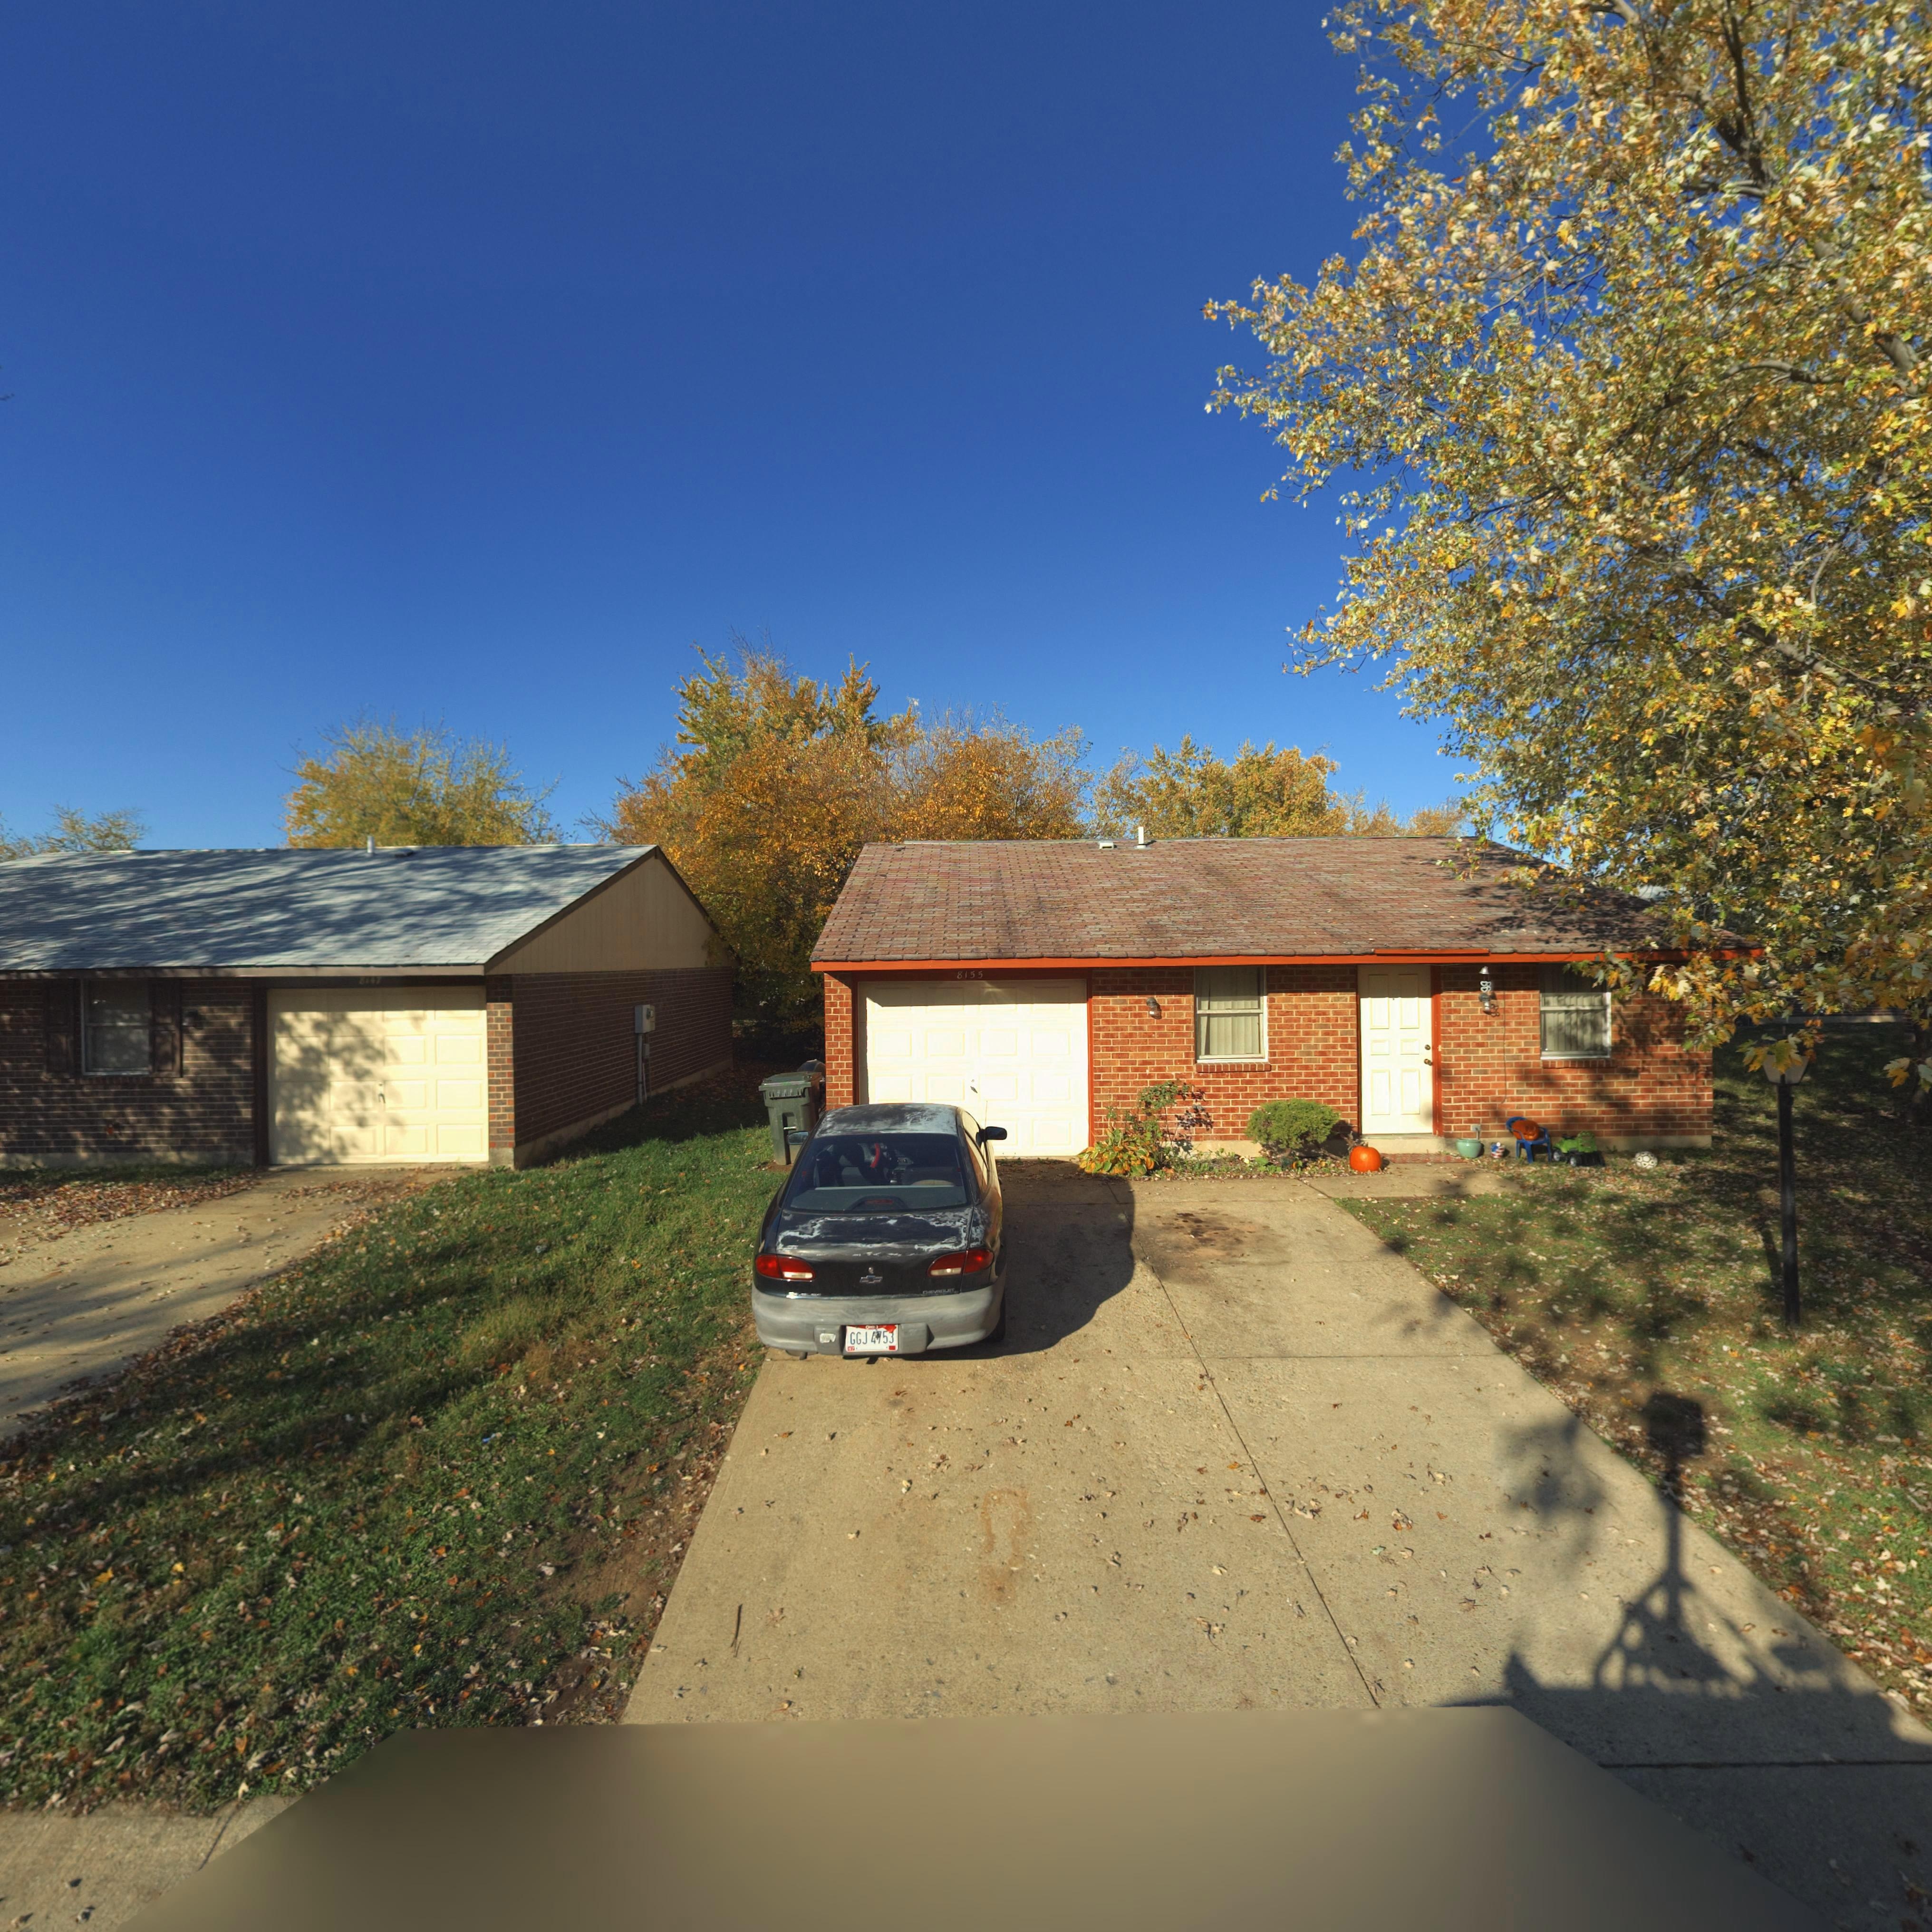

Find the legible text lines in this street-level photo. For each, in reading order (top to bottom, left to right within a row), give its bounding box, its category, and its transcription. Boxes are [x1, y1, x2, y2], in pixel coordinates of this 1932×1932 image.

[956, 969, 984, 980] StreetNumber: 8155